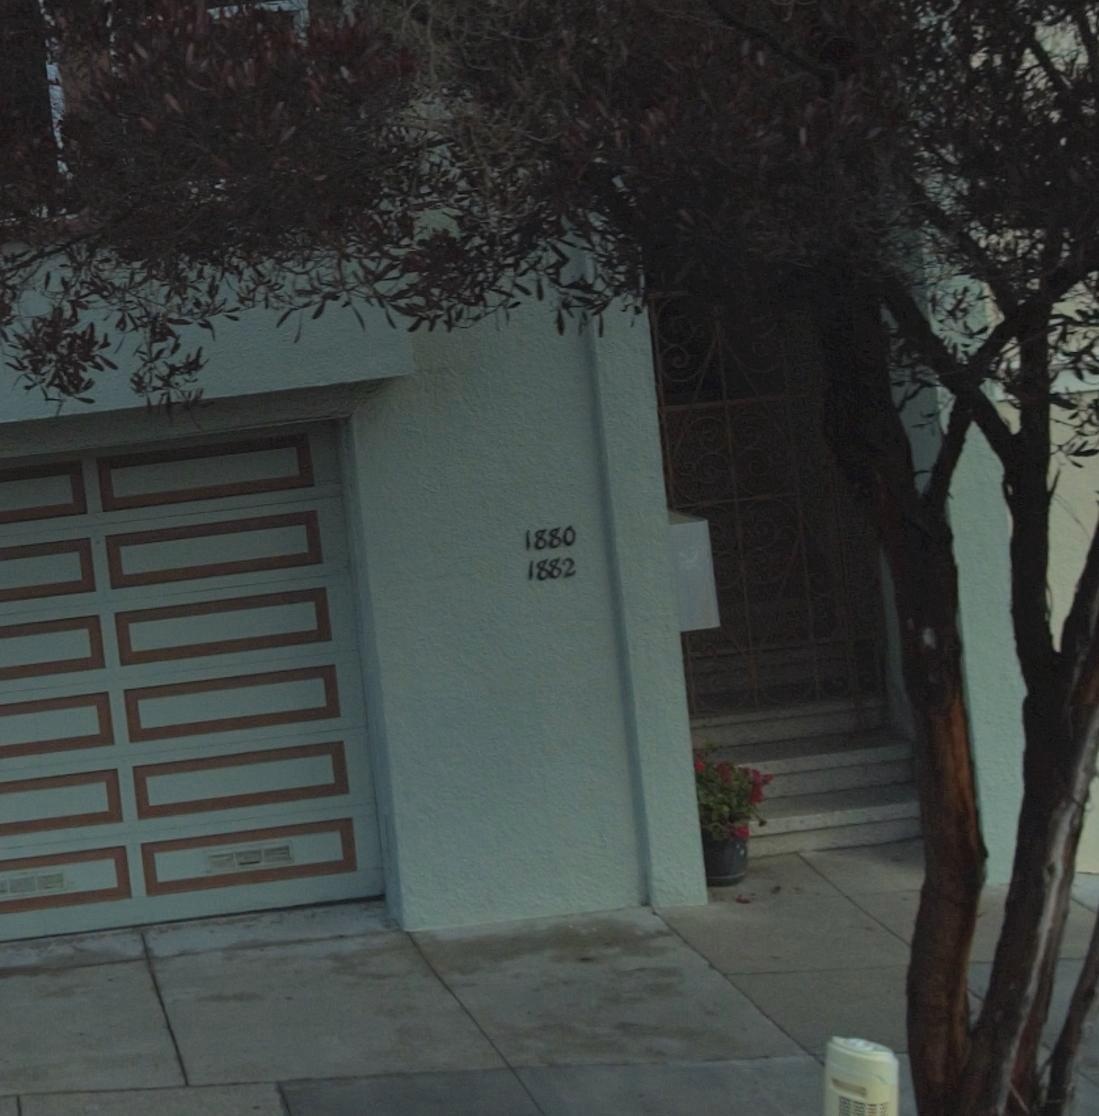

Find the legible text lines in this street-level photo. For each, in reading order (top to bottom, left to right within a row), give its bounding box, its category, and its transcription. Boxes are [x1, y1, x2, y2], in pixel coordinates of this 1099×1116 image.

[523, 524, 578, 554] StreetNumber: 1880
[525, 554, 579, 583] StreetNumber: 1882